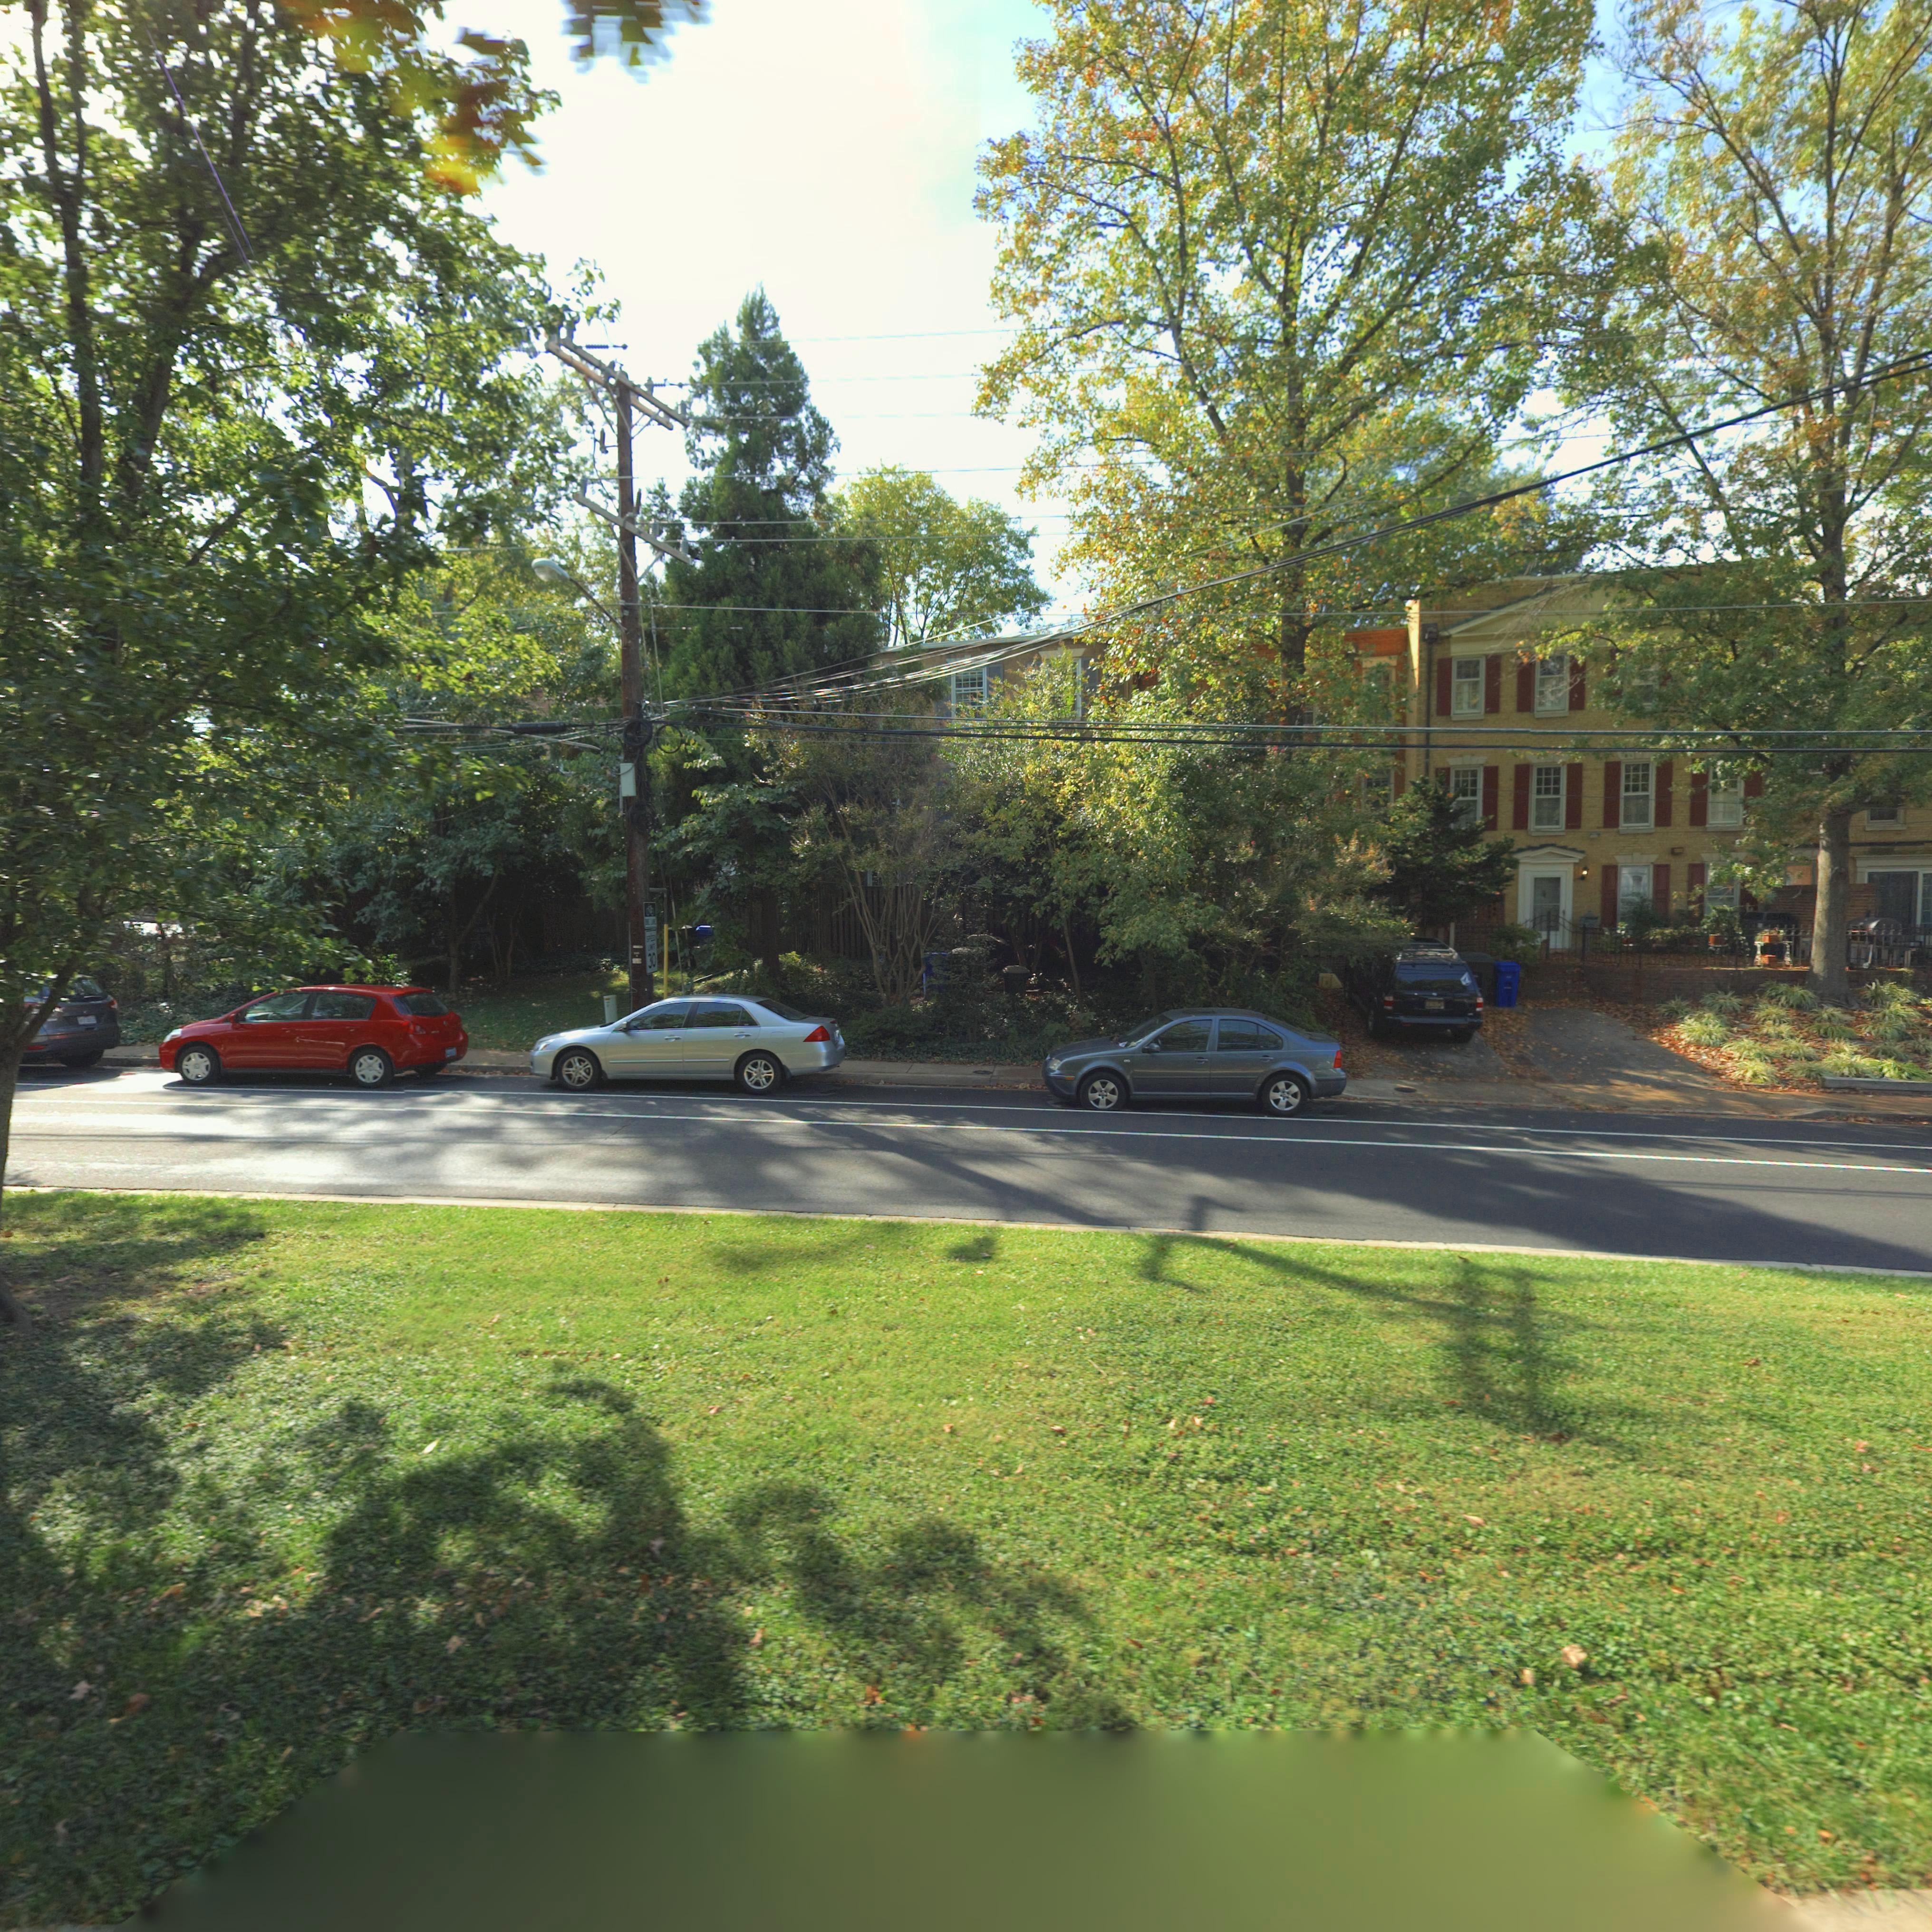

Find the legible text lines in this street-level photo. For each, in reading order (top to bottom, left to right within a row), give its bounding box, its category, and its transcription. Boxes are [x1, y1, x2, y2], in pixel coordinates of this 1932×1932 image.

[646, 934, 657, 943] None: SPEED
[647, 943, 656, 951] None: LIMIT
[647, 952, 657, 969] None: 30